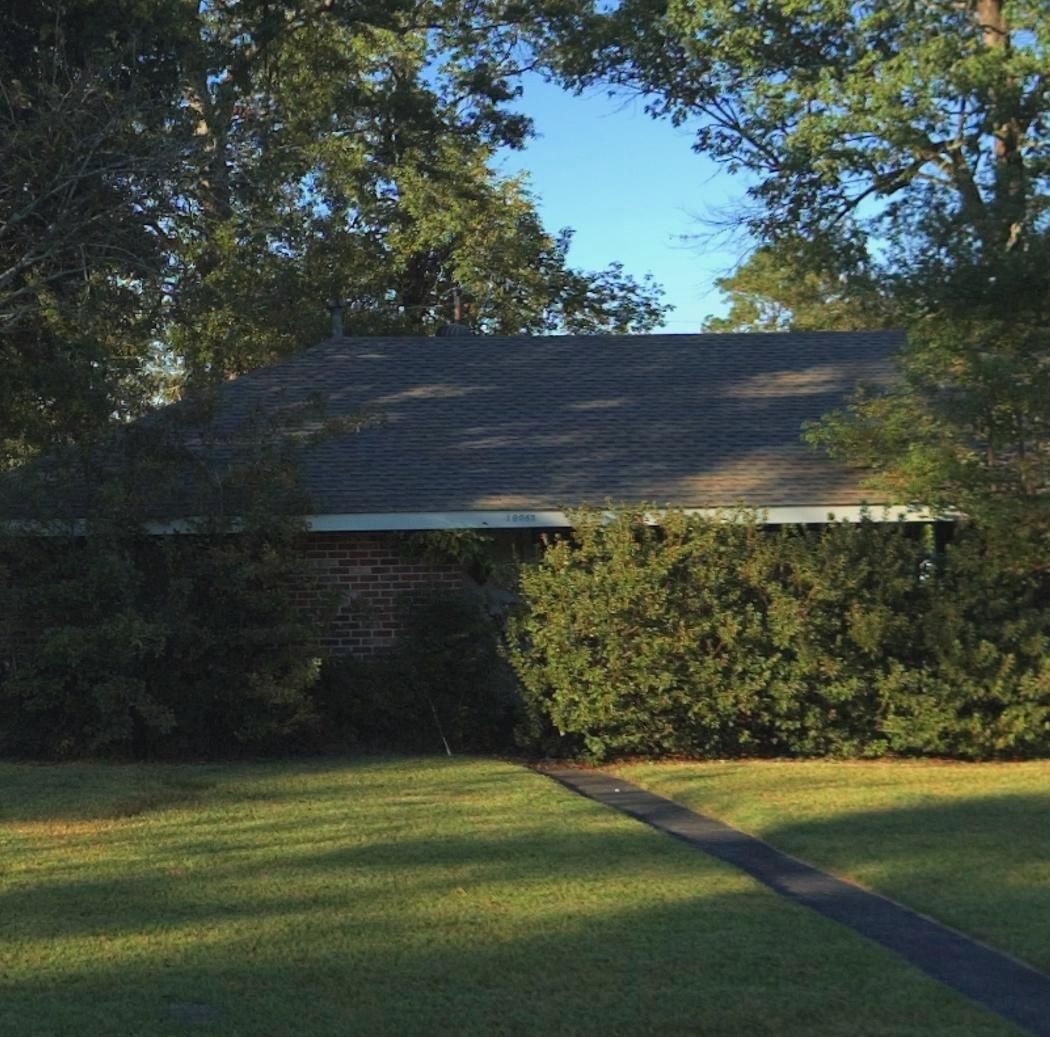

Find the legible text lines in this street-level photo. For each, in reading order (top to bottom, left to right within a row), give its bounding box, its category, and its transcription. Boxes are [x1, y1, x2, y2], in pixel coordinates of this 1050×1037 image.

[505, 514, 537, 523] StreetNumber: 10053